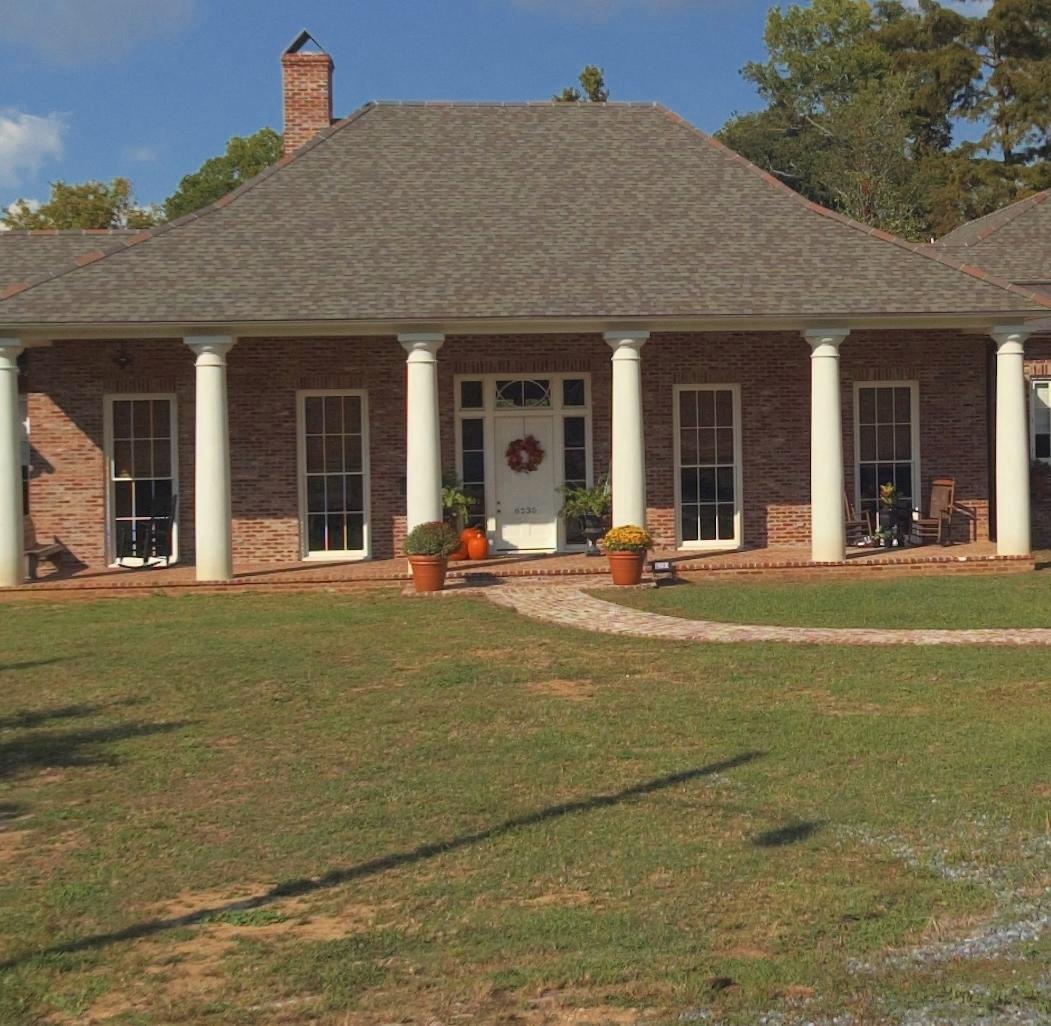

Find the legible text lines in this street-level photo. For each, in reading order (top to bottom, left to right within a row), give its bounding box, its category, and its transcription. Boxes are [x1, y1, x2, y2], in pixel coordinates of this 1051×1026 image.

[513, 507, 538, 514] StreetNumber: 6233